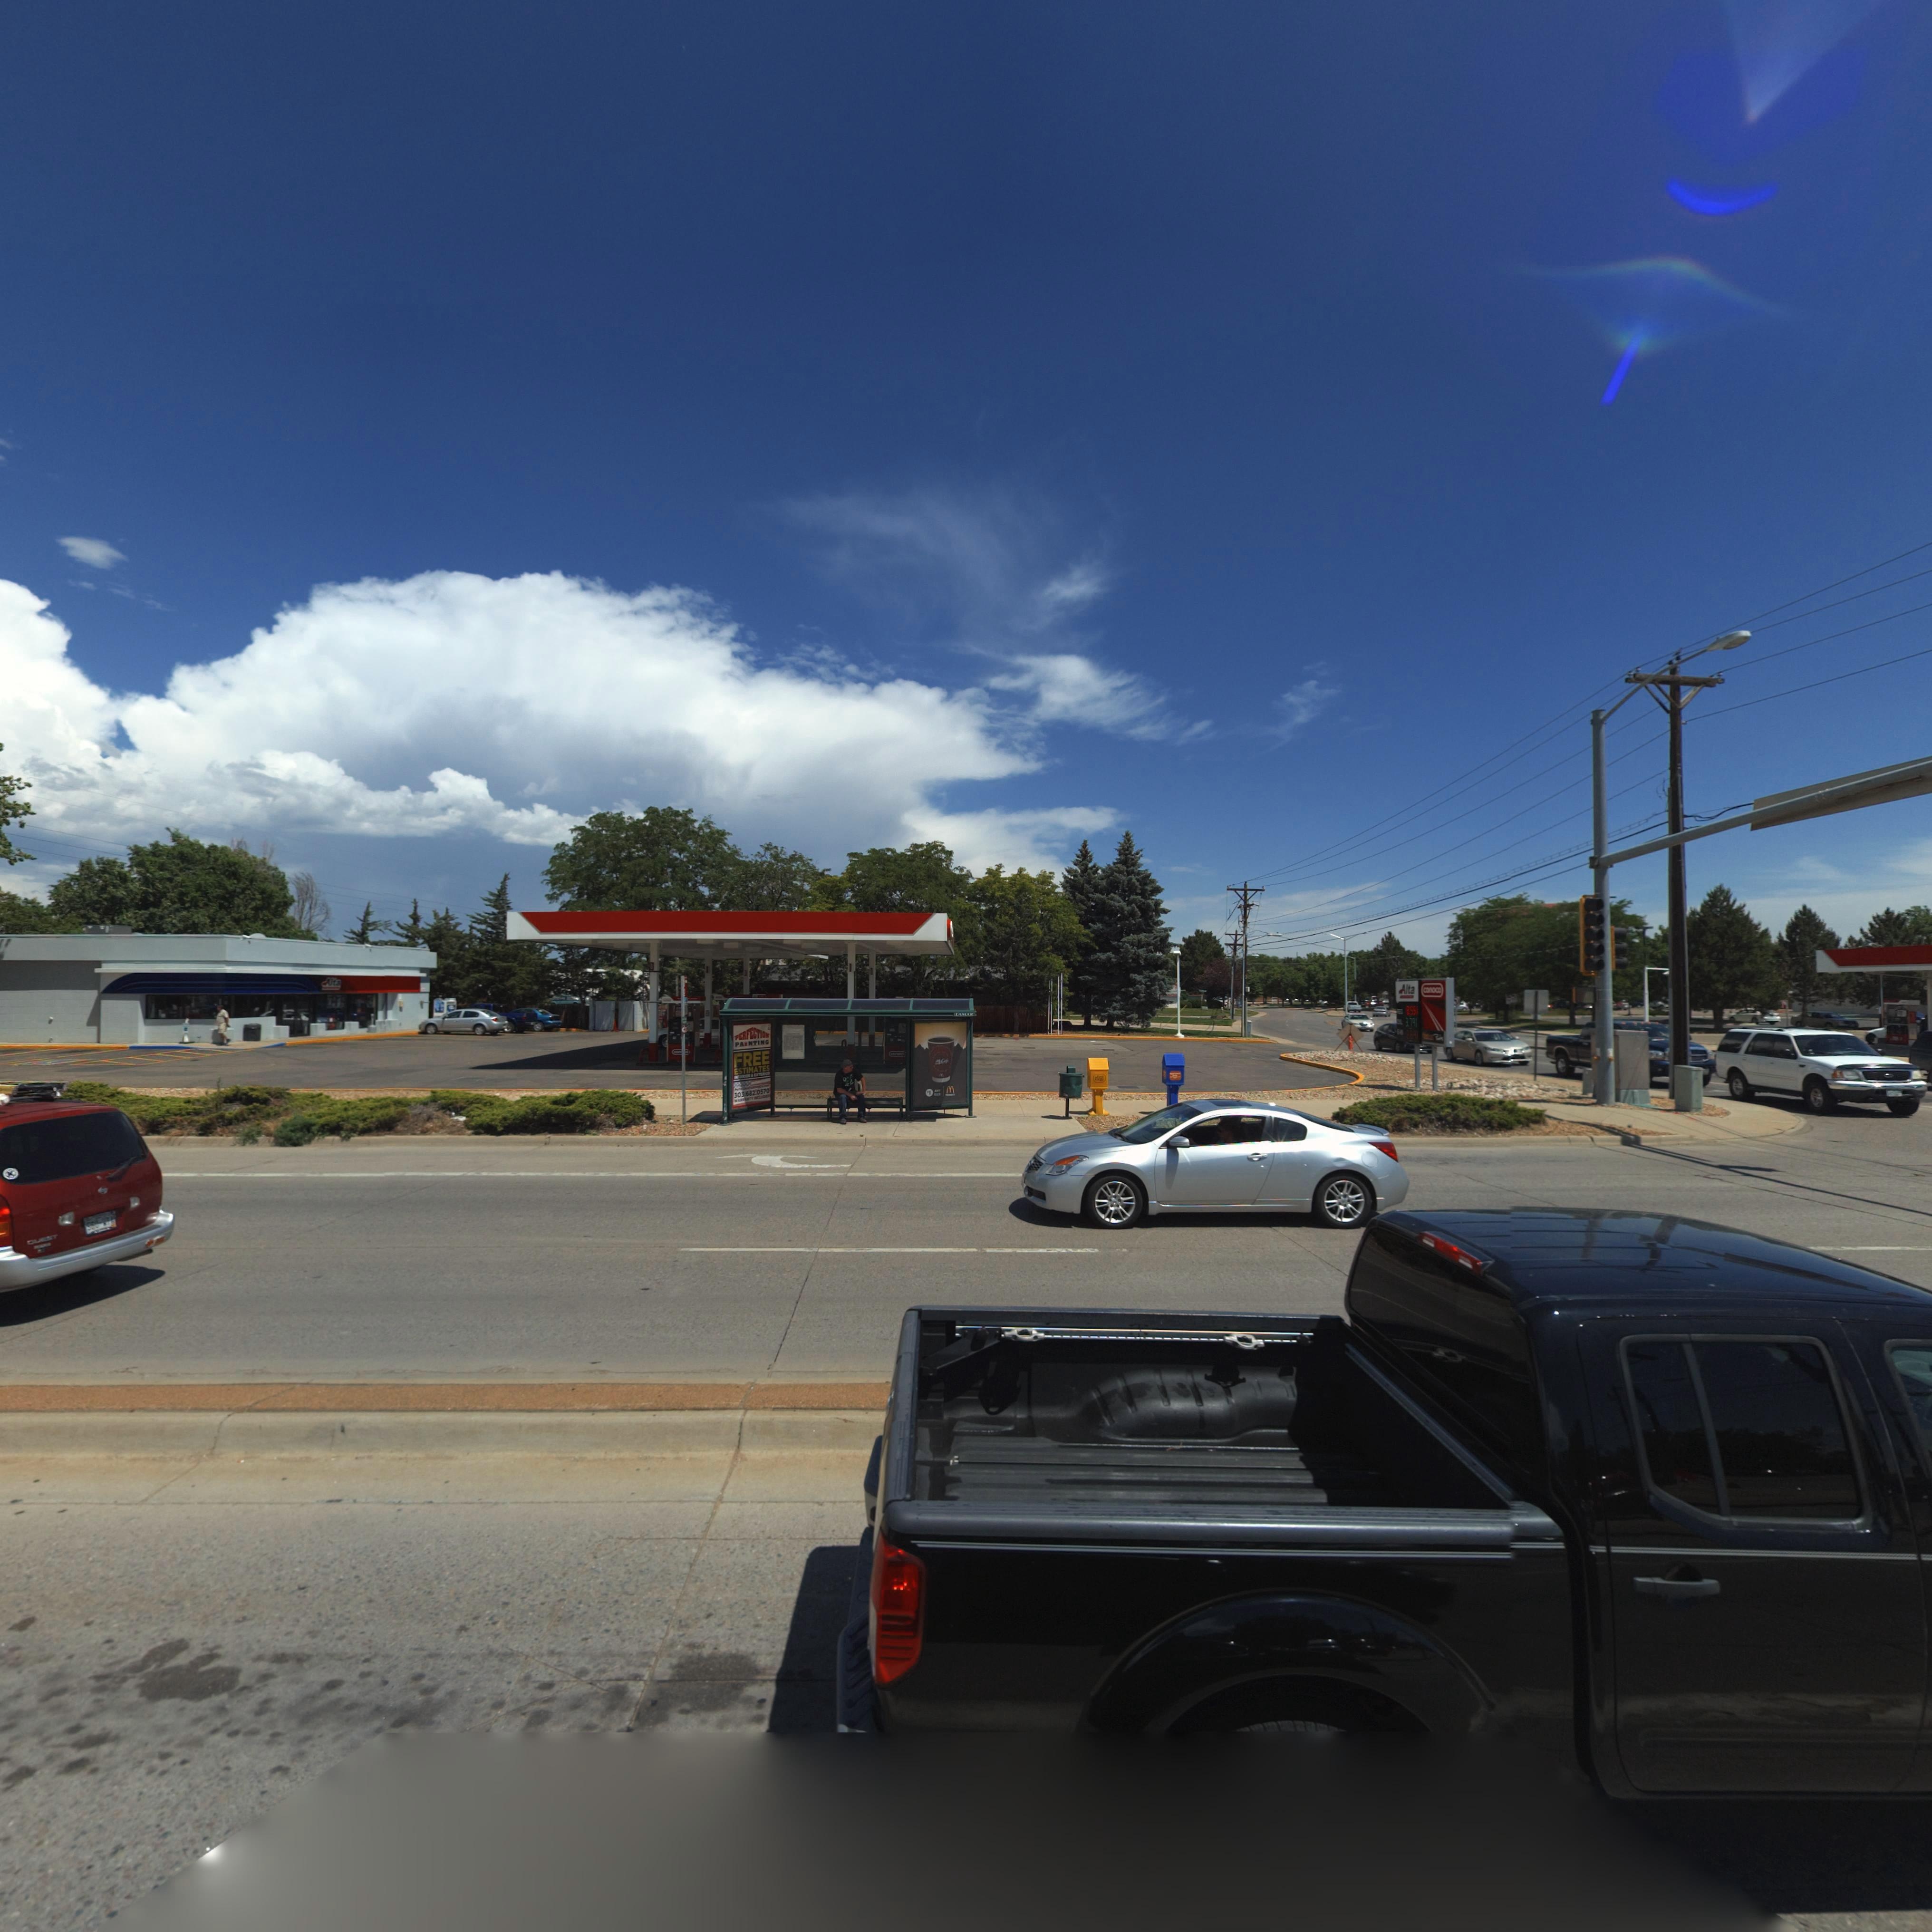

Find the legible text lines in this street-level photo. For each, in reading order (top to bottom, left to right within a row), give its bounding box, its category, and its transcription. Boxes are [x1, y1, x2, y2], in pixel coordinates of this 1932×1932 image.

[1400, 984, 1415, 994] BusinessName: Alta
[1423, 987, 1441, 993] BusinessName: conoco
[673, 1050, 688, 1053] BusinessName: con***
[890, 1052, 905, 1055] BusinessName: con***